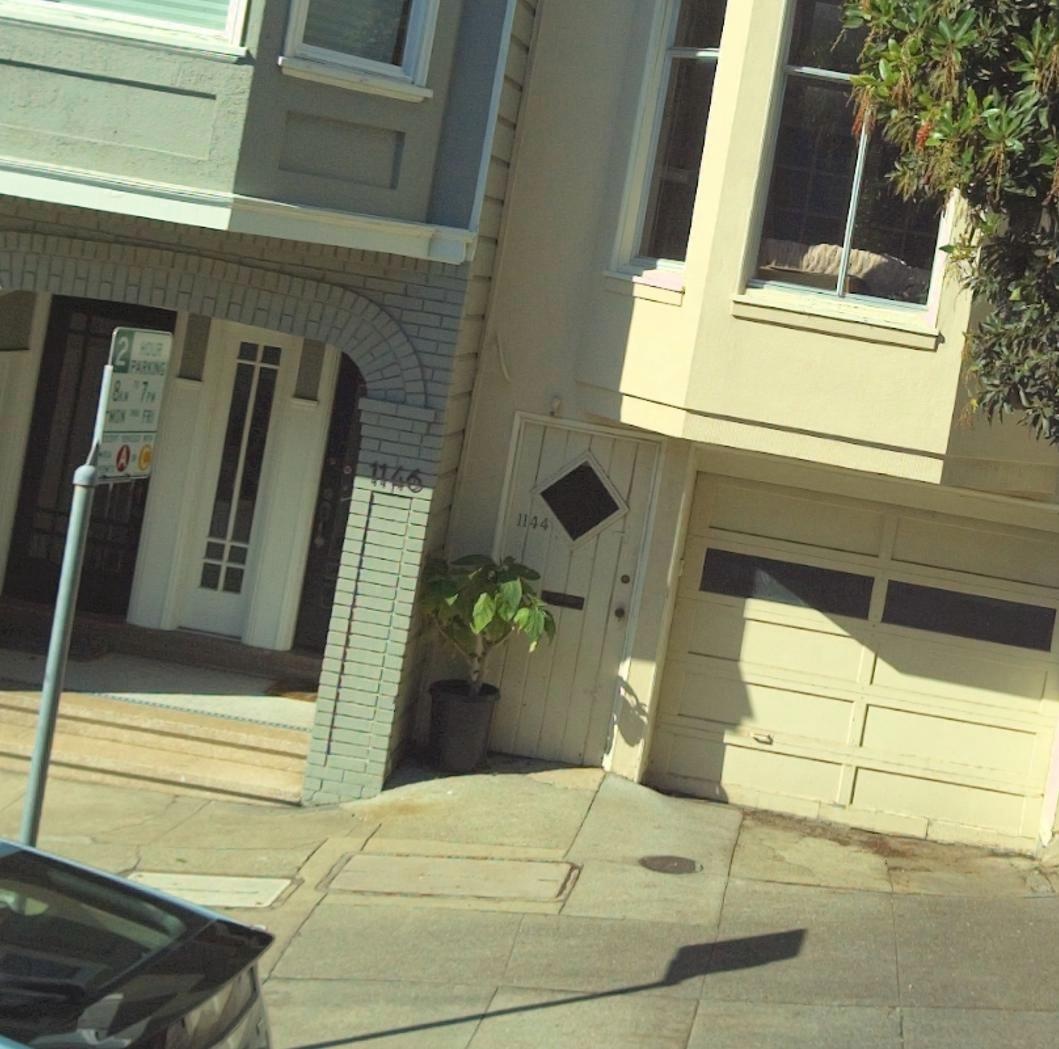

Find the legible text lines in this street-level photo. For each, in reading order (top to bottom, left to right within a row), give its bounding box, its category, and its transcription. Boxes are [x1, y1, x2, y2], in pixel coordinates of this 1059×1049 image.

[112, 333, 131, 368] None: 2
[137, 338, 166, 359] None: HOUR
[128, 358, 169, 377] None: PARKING
[110, 376, 123, 403] None: 8
[138, 378, 151, 403] None: 7
[139, 407, 157, 425] None: FRI
[115, 444, 130, 470] None: A
[138, 445, 153, 471] None: C
[368, 458, 426, 496] StreetNumber: 1146
[515, 511, 551, 534] StreetNumber: 1144